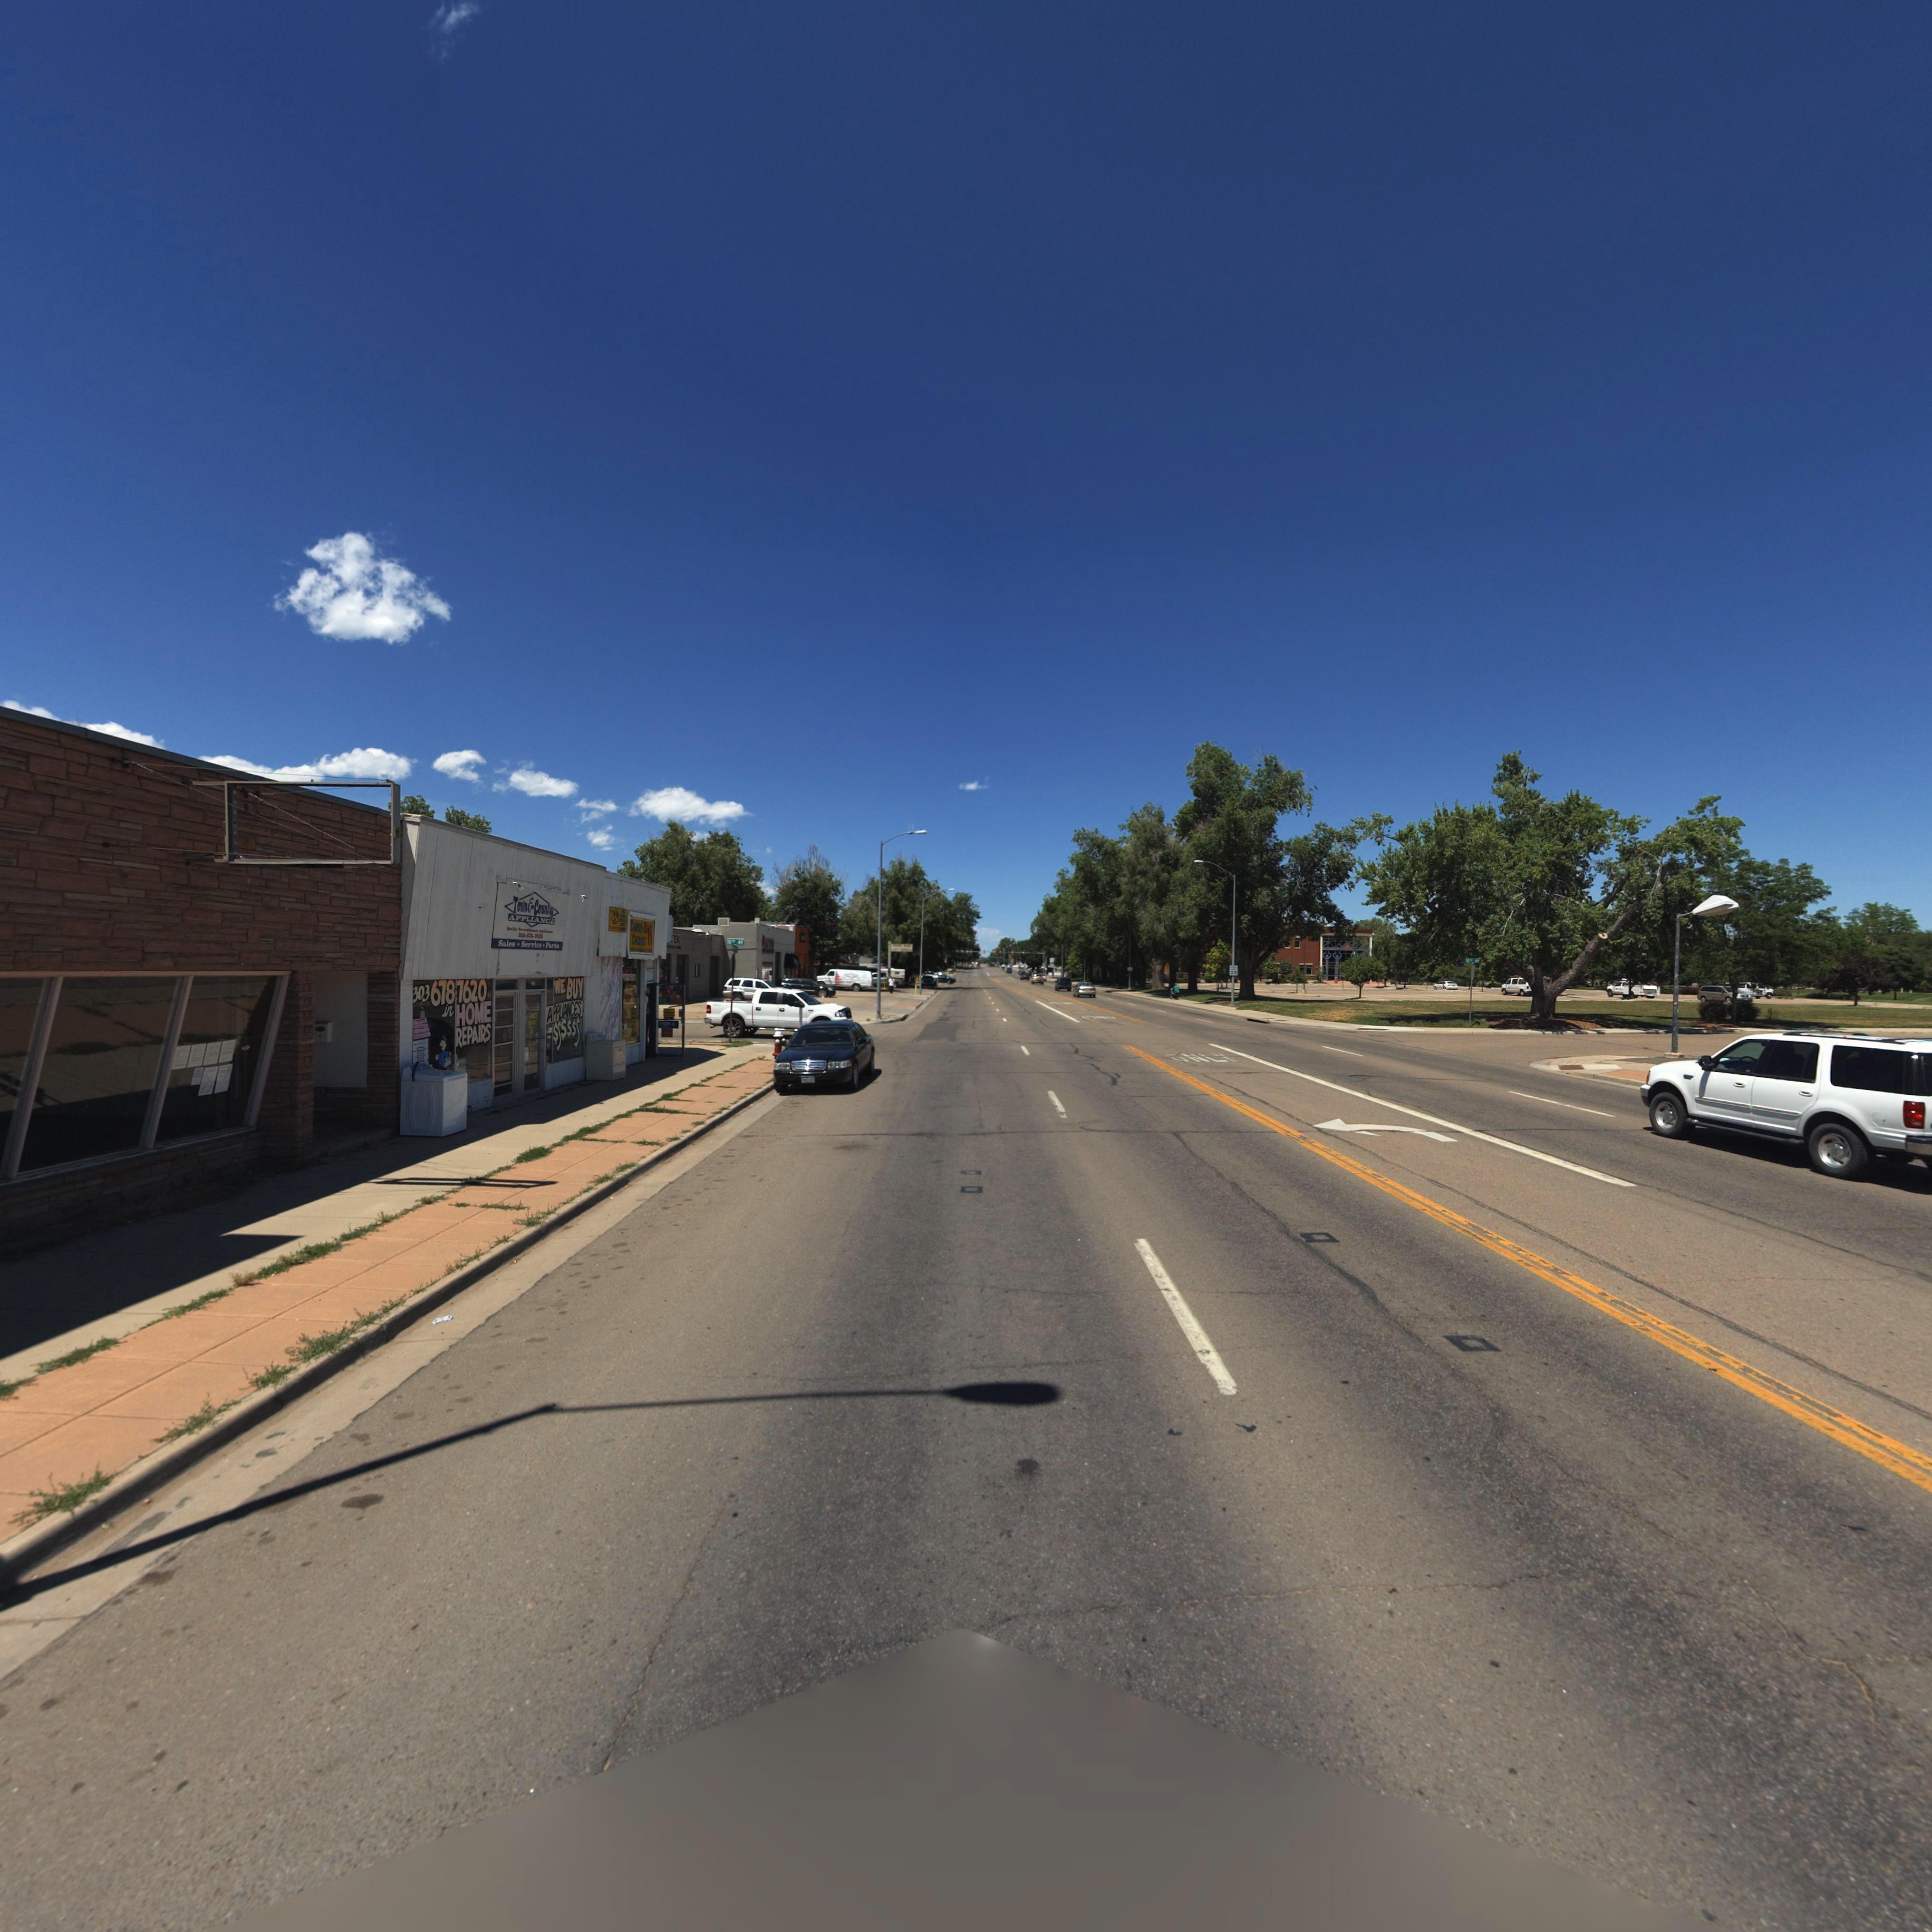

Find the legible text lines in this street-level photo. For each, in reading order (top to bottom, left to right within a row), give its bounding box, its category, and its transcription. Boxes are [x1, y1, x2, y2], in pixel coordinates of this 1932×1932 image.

[513, 890, 553, 920] BusinessName: Town * Country
[508, 915, 555, 924] BusinessName: APPLIANCE
[673, 934, 680, 944] BusinessName: EK
[727, 939, 744, 944] StreetName: 10TH AV
[761, 935, 773, 948] BusinessName: A*****
[892, 943, 911, 947] BusinessName: COURT YARD
[1466, 958, 1479, 962] StreetName: 10TH AV
[531, 981, 535, 986] StreetNumber: 945